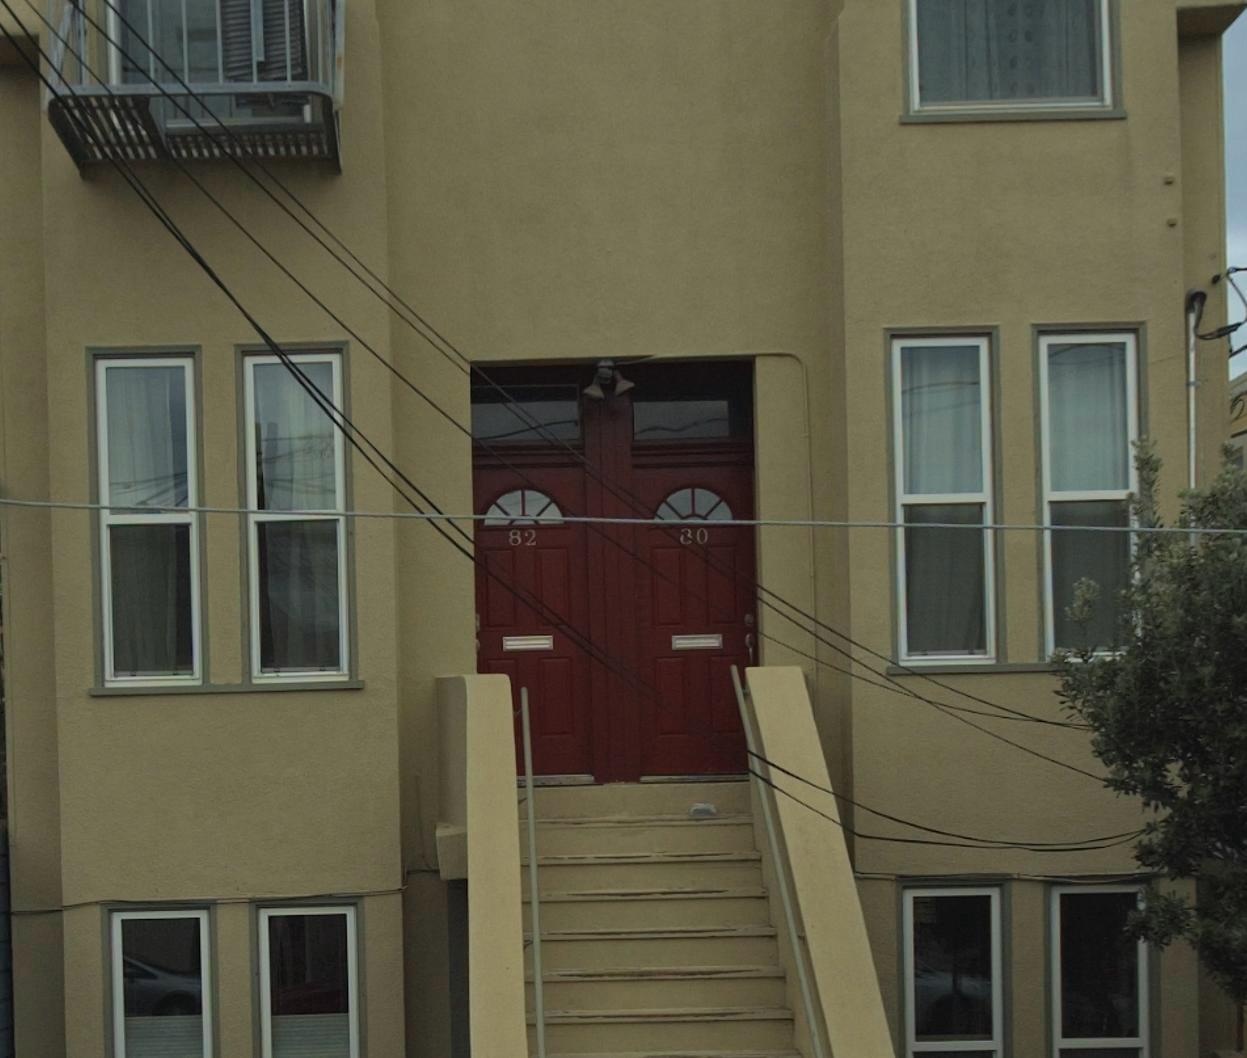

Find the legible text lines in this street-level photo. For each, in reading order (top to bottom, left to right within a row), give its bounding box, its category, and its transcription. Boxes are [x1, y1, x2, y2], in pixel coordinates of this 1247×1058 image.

[508, 527, 538, 548] StreetNumber: 82
[679, 527, 709, 546] StreetNumber: 80